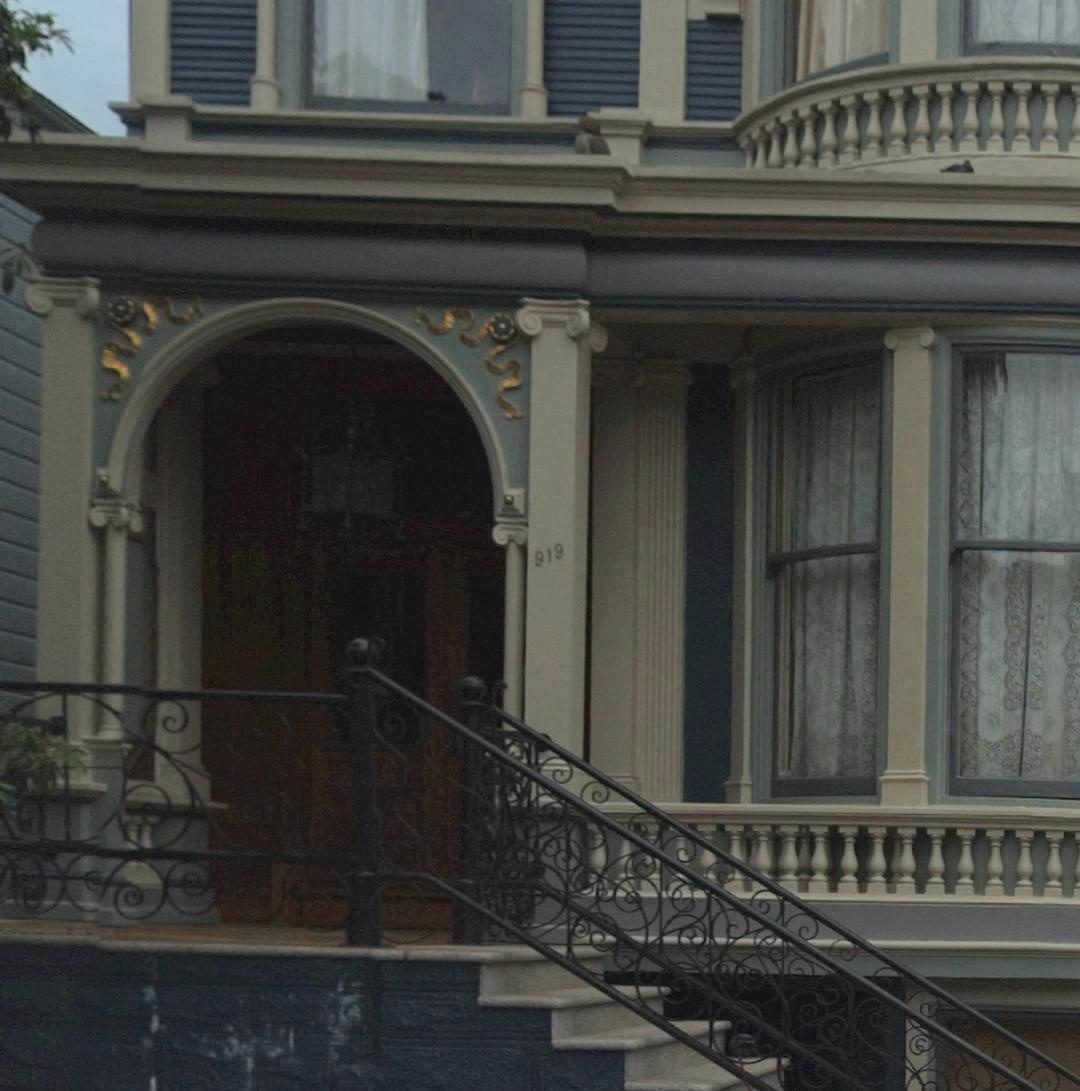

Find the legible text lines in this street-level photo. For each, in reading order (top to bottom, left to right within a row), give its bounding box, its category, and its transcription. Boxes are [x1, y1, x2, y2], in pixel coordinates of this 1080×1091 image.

[534, 539, 565, 569] StreetNumber: 919